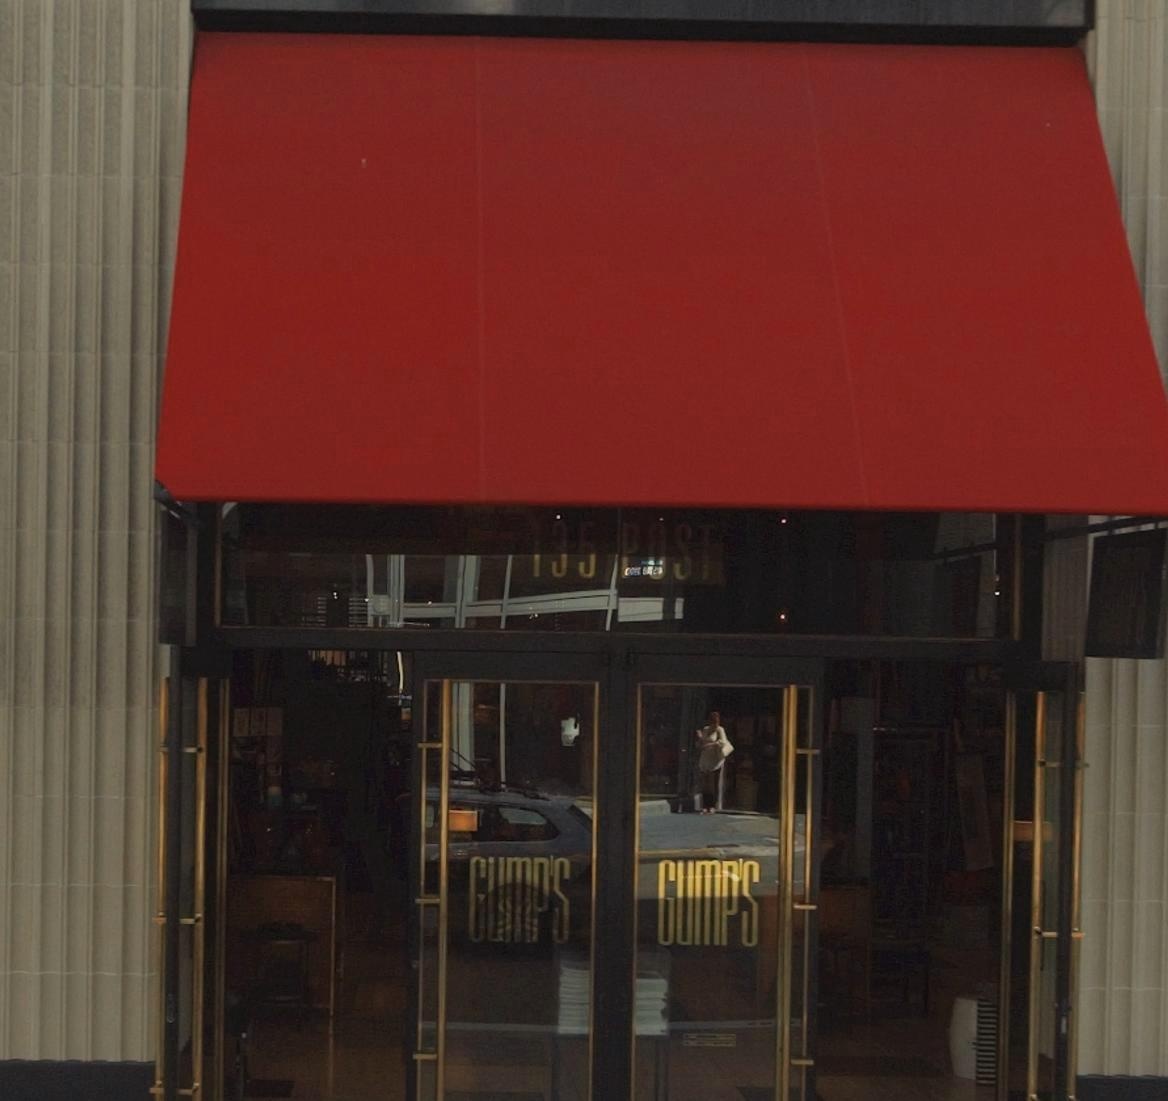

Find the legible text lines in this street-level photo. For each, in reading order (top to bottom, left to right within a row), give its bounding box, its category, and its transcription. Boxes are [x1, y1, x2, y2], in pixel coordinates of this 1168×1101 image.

[527, 517, 597, 580] StreetNumber: 133
[618, 520, 719, 584] StreetName: POST
[465, 851, 576, 947] BusinessName: GUMP'S
[654, 853, 763, 949] BusinessName: GUMP'S